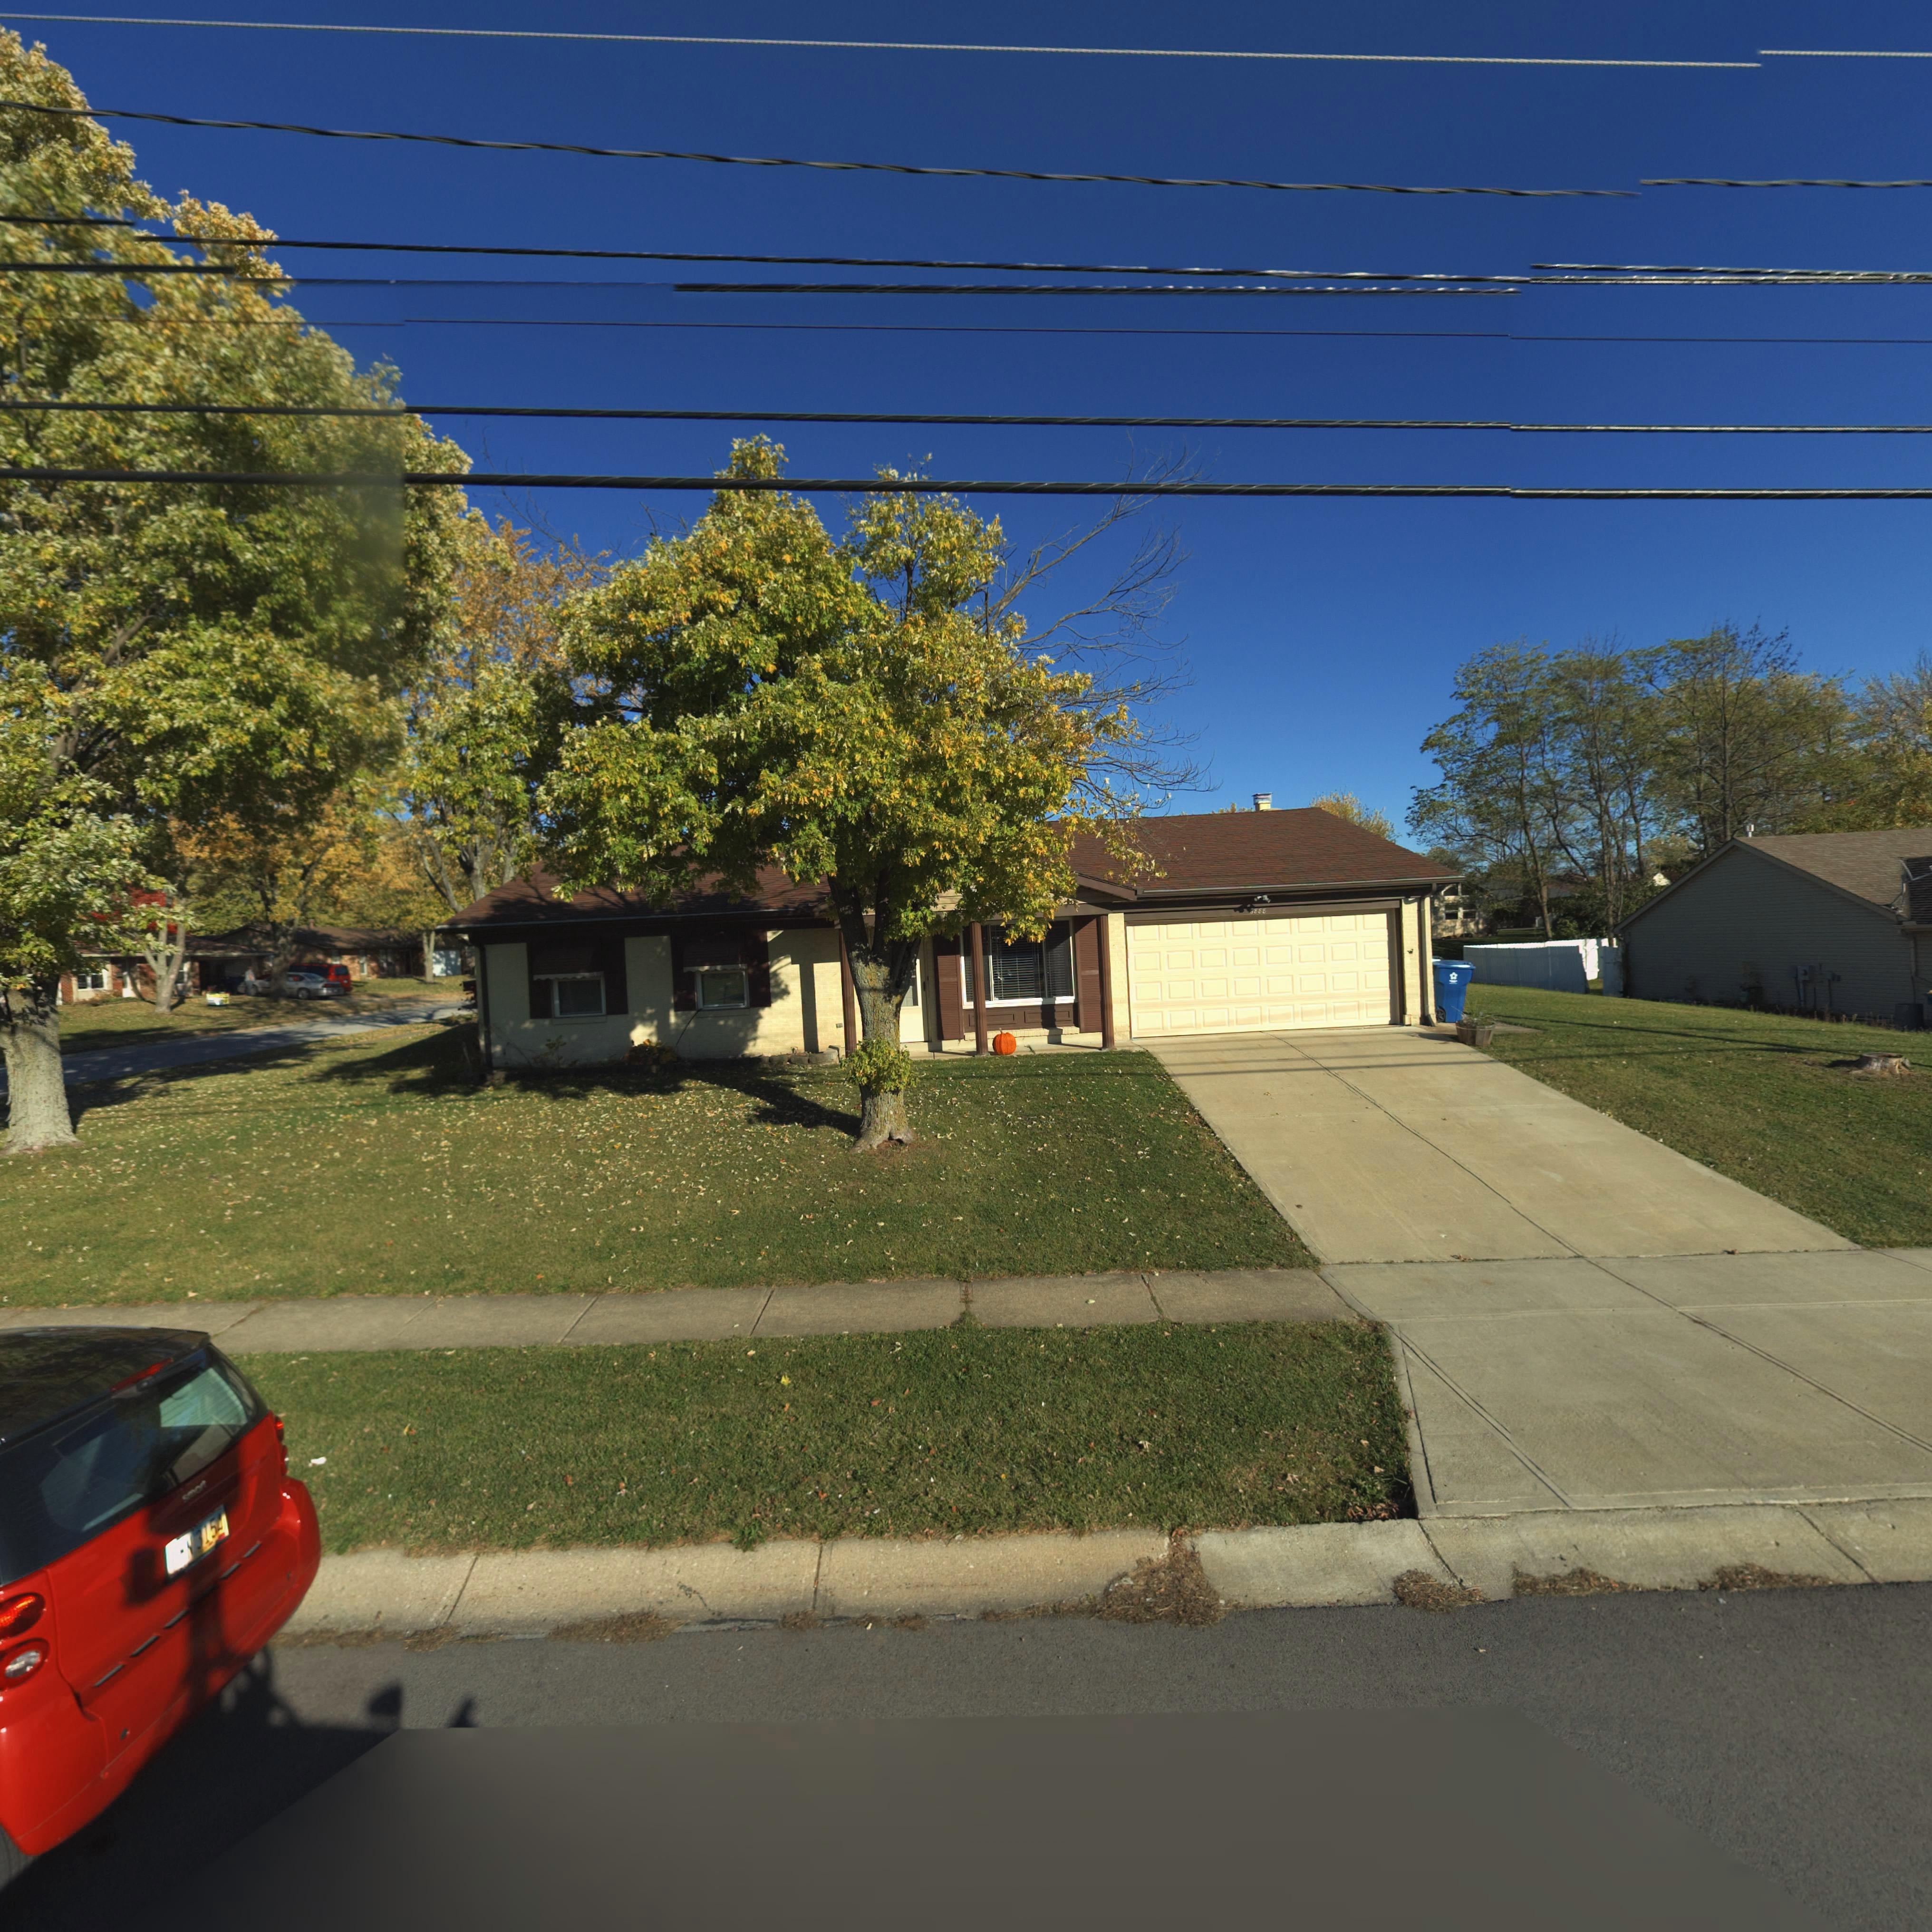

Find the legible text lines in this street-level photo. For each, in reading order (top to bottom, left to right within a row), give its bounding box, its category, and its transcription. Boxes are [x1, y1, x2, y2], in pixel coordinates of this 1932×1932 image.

[1248, 907, 1268, 915] StreetNumber: *888